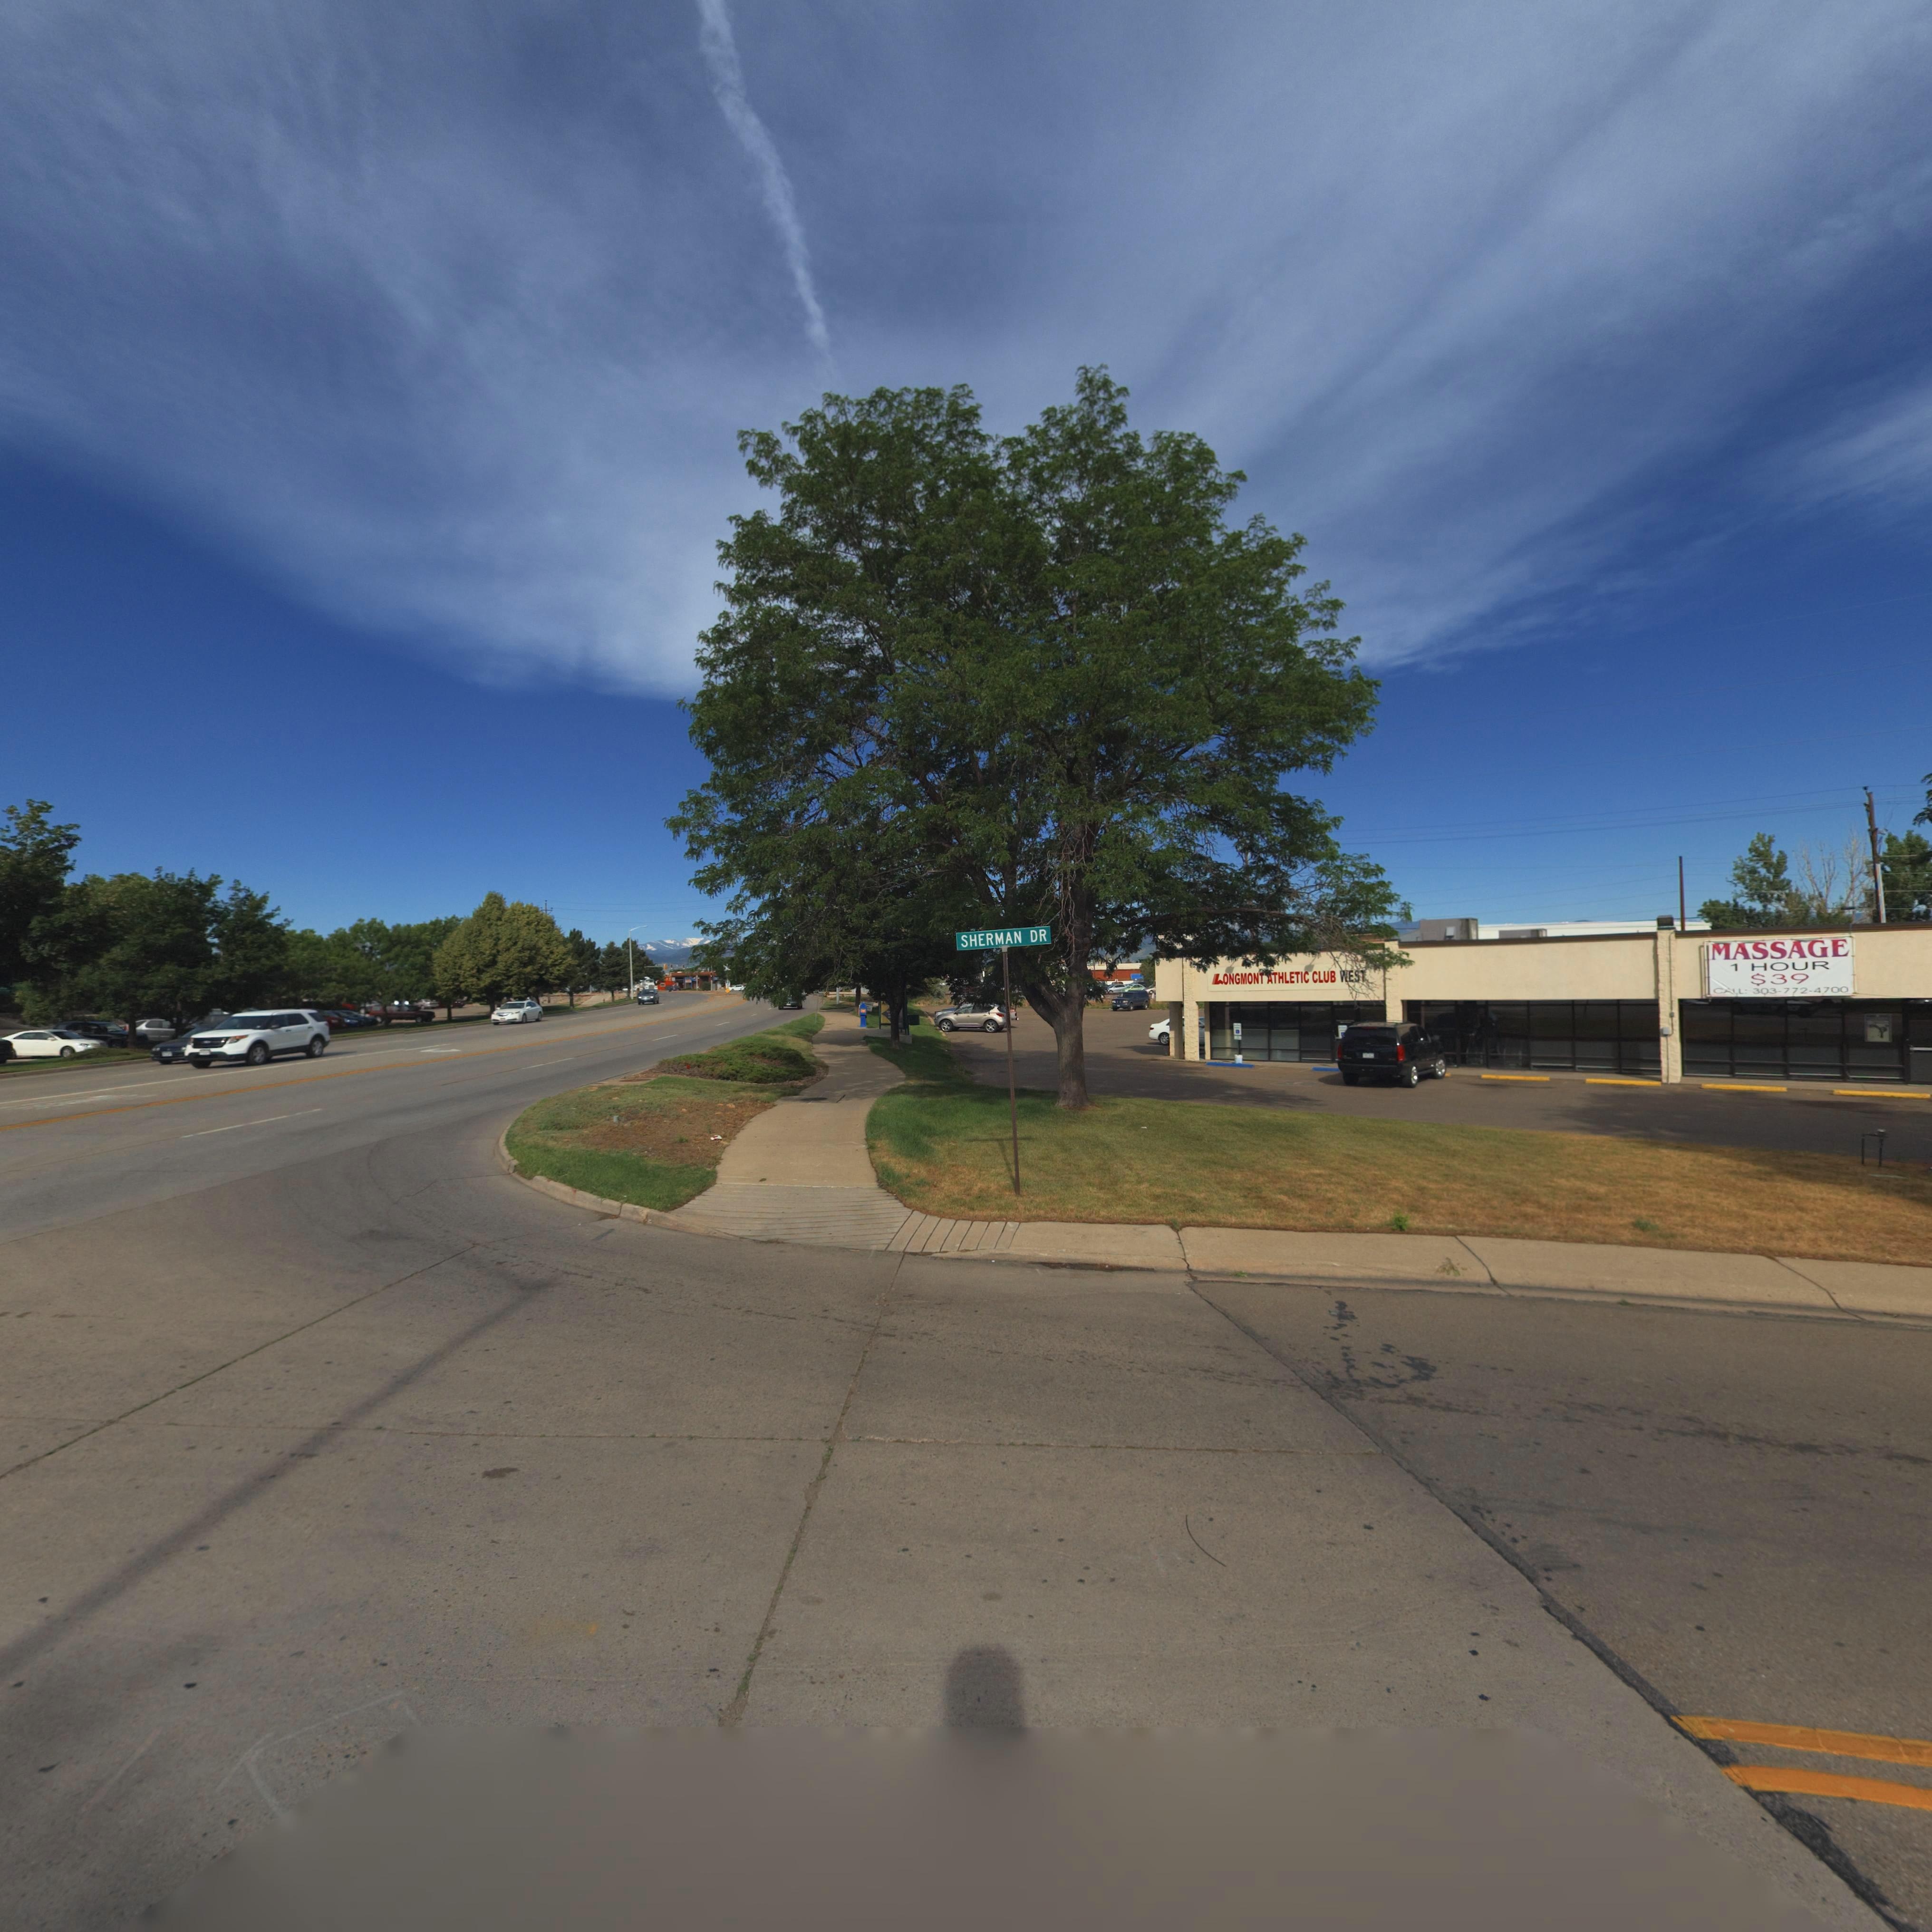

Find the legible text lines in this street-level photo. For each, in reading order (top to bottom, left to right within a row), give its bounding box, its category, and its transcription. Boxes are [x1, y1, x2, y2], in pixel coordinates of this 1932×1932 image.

[960, 928, 1047, 948] StreetName: SHERMAN DR
[1211, 969, 1366, 985] BusinessName: LONGMONT ATHLETIC CLUB WEST